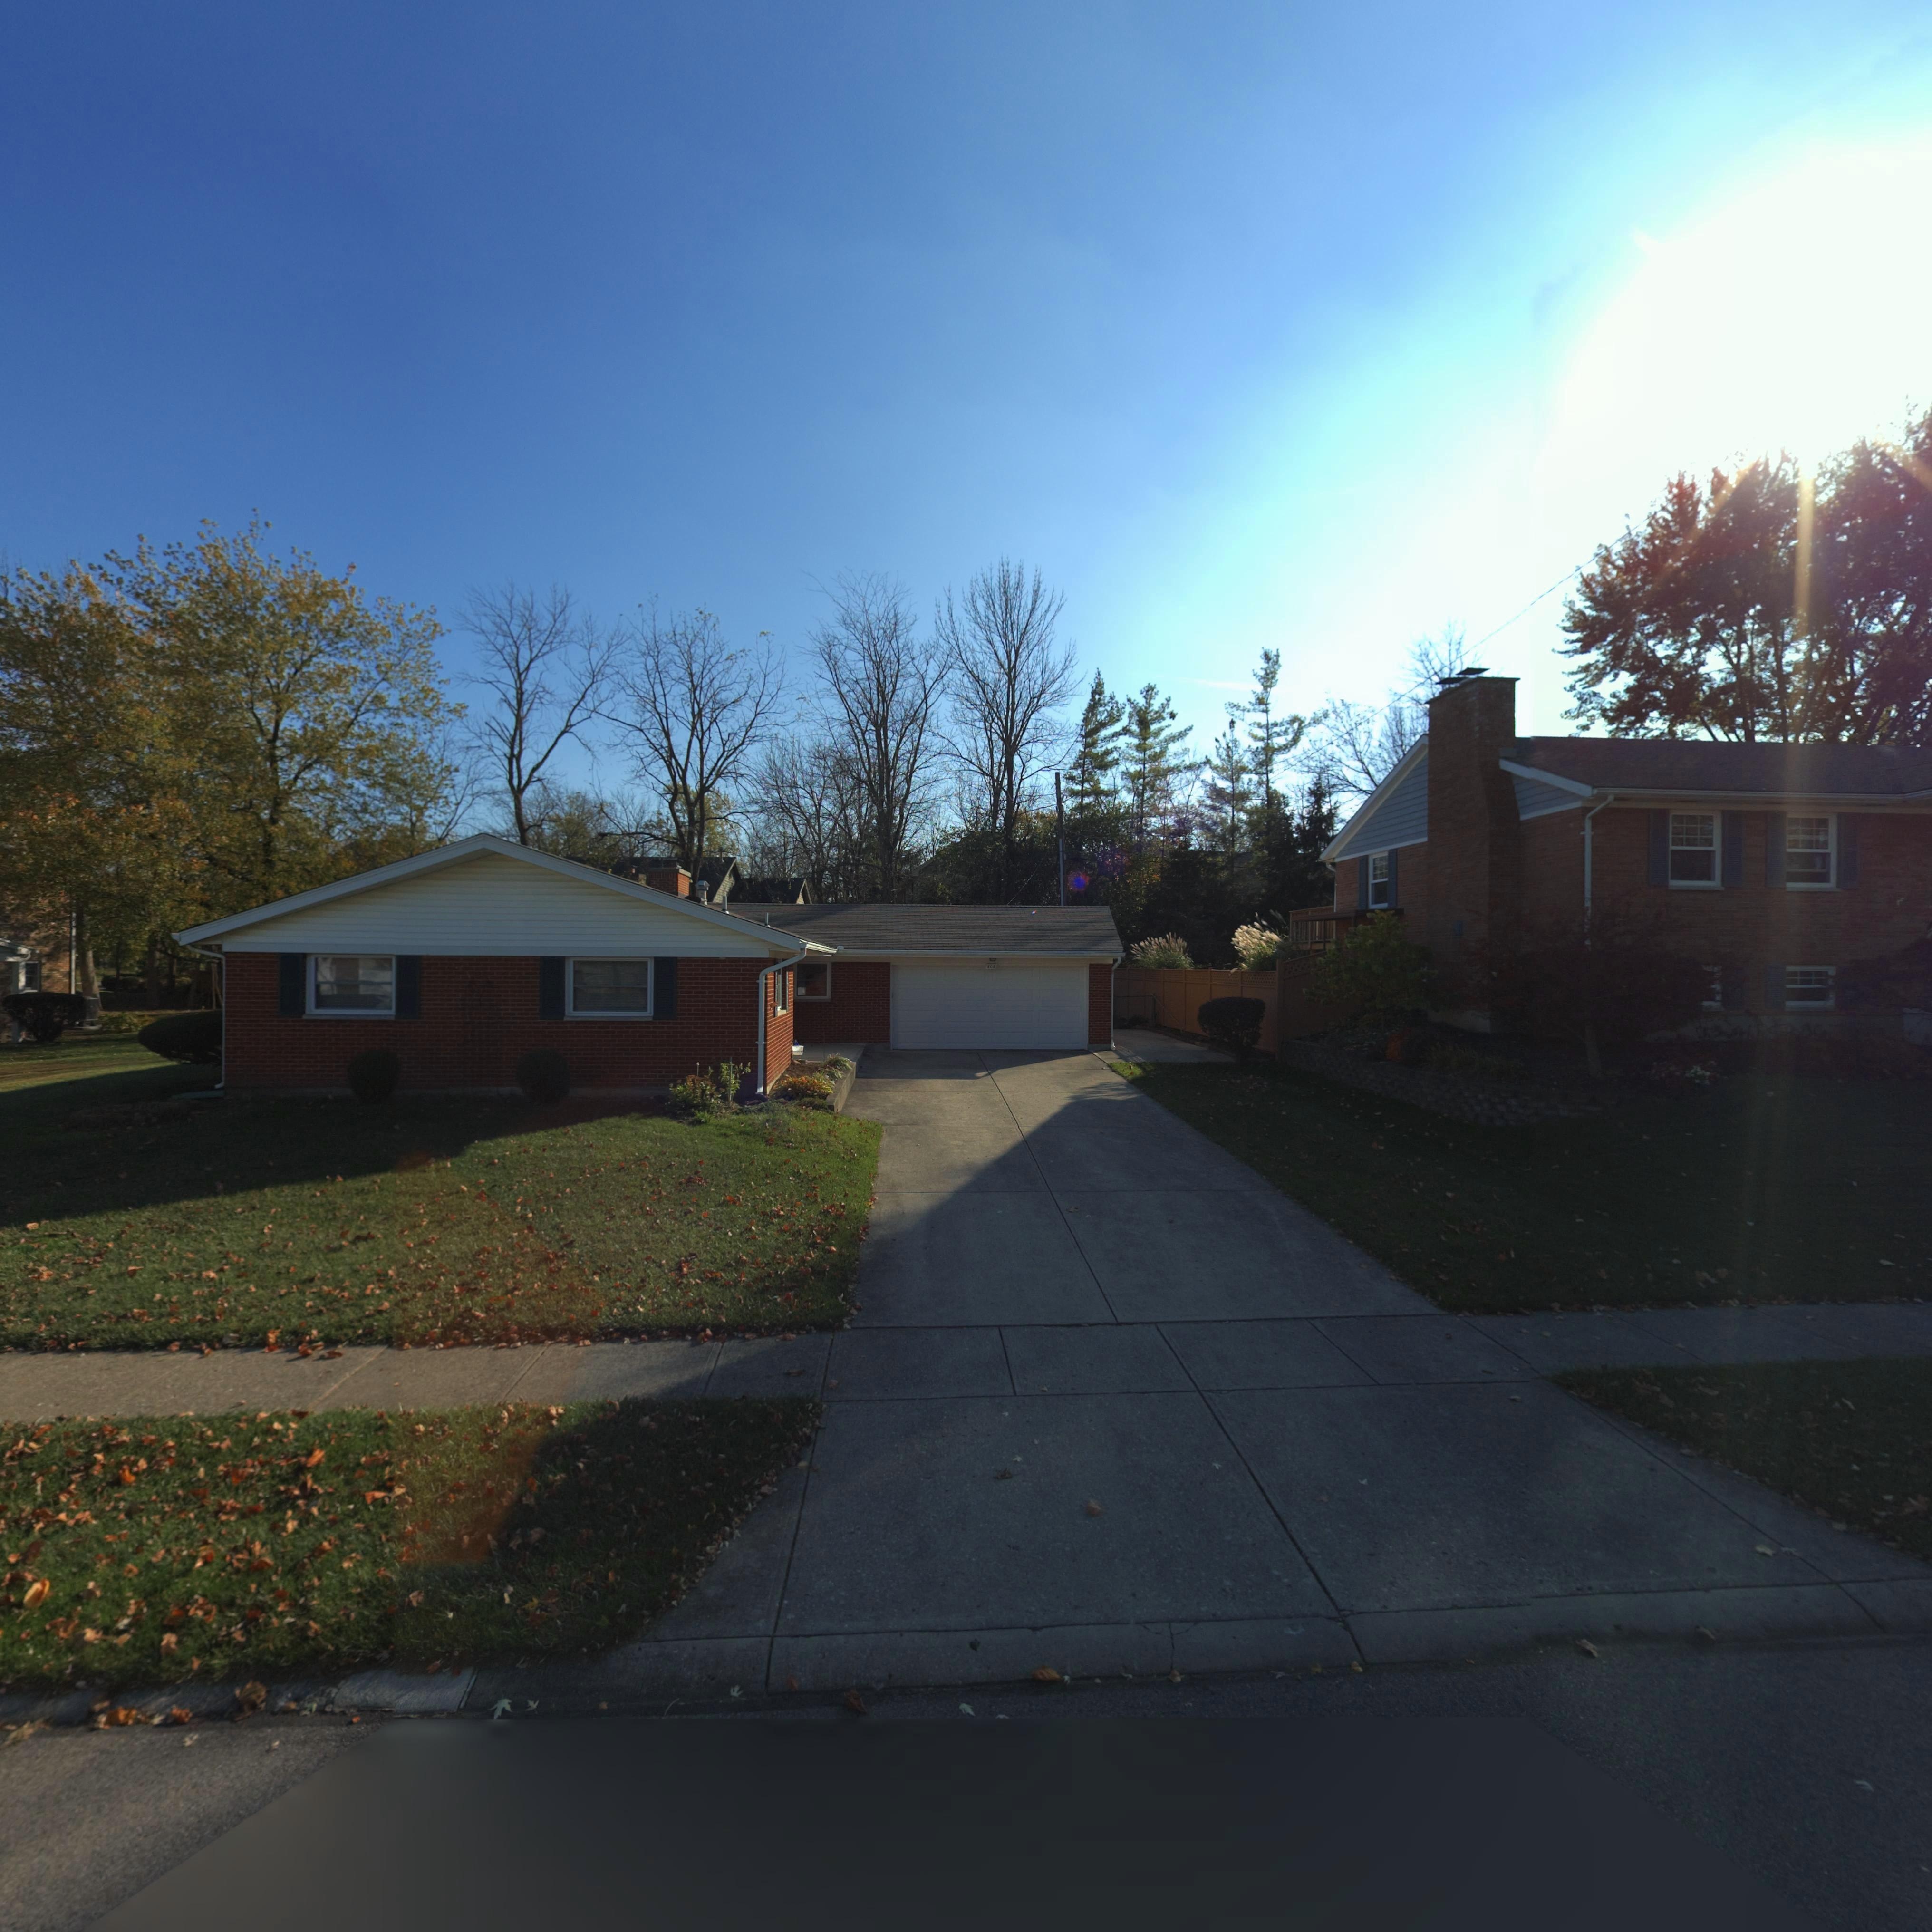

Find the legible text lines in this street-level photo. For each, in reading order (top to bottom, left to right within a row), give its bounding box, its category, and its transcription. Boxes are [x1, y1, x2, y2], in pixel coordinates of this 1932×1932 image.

[986, 964, 996, 969] StreetNumber: 80*